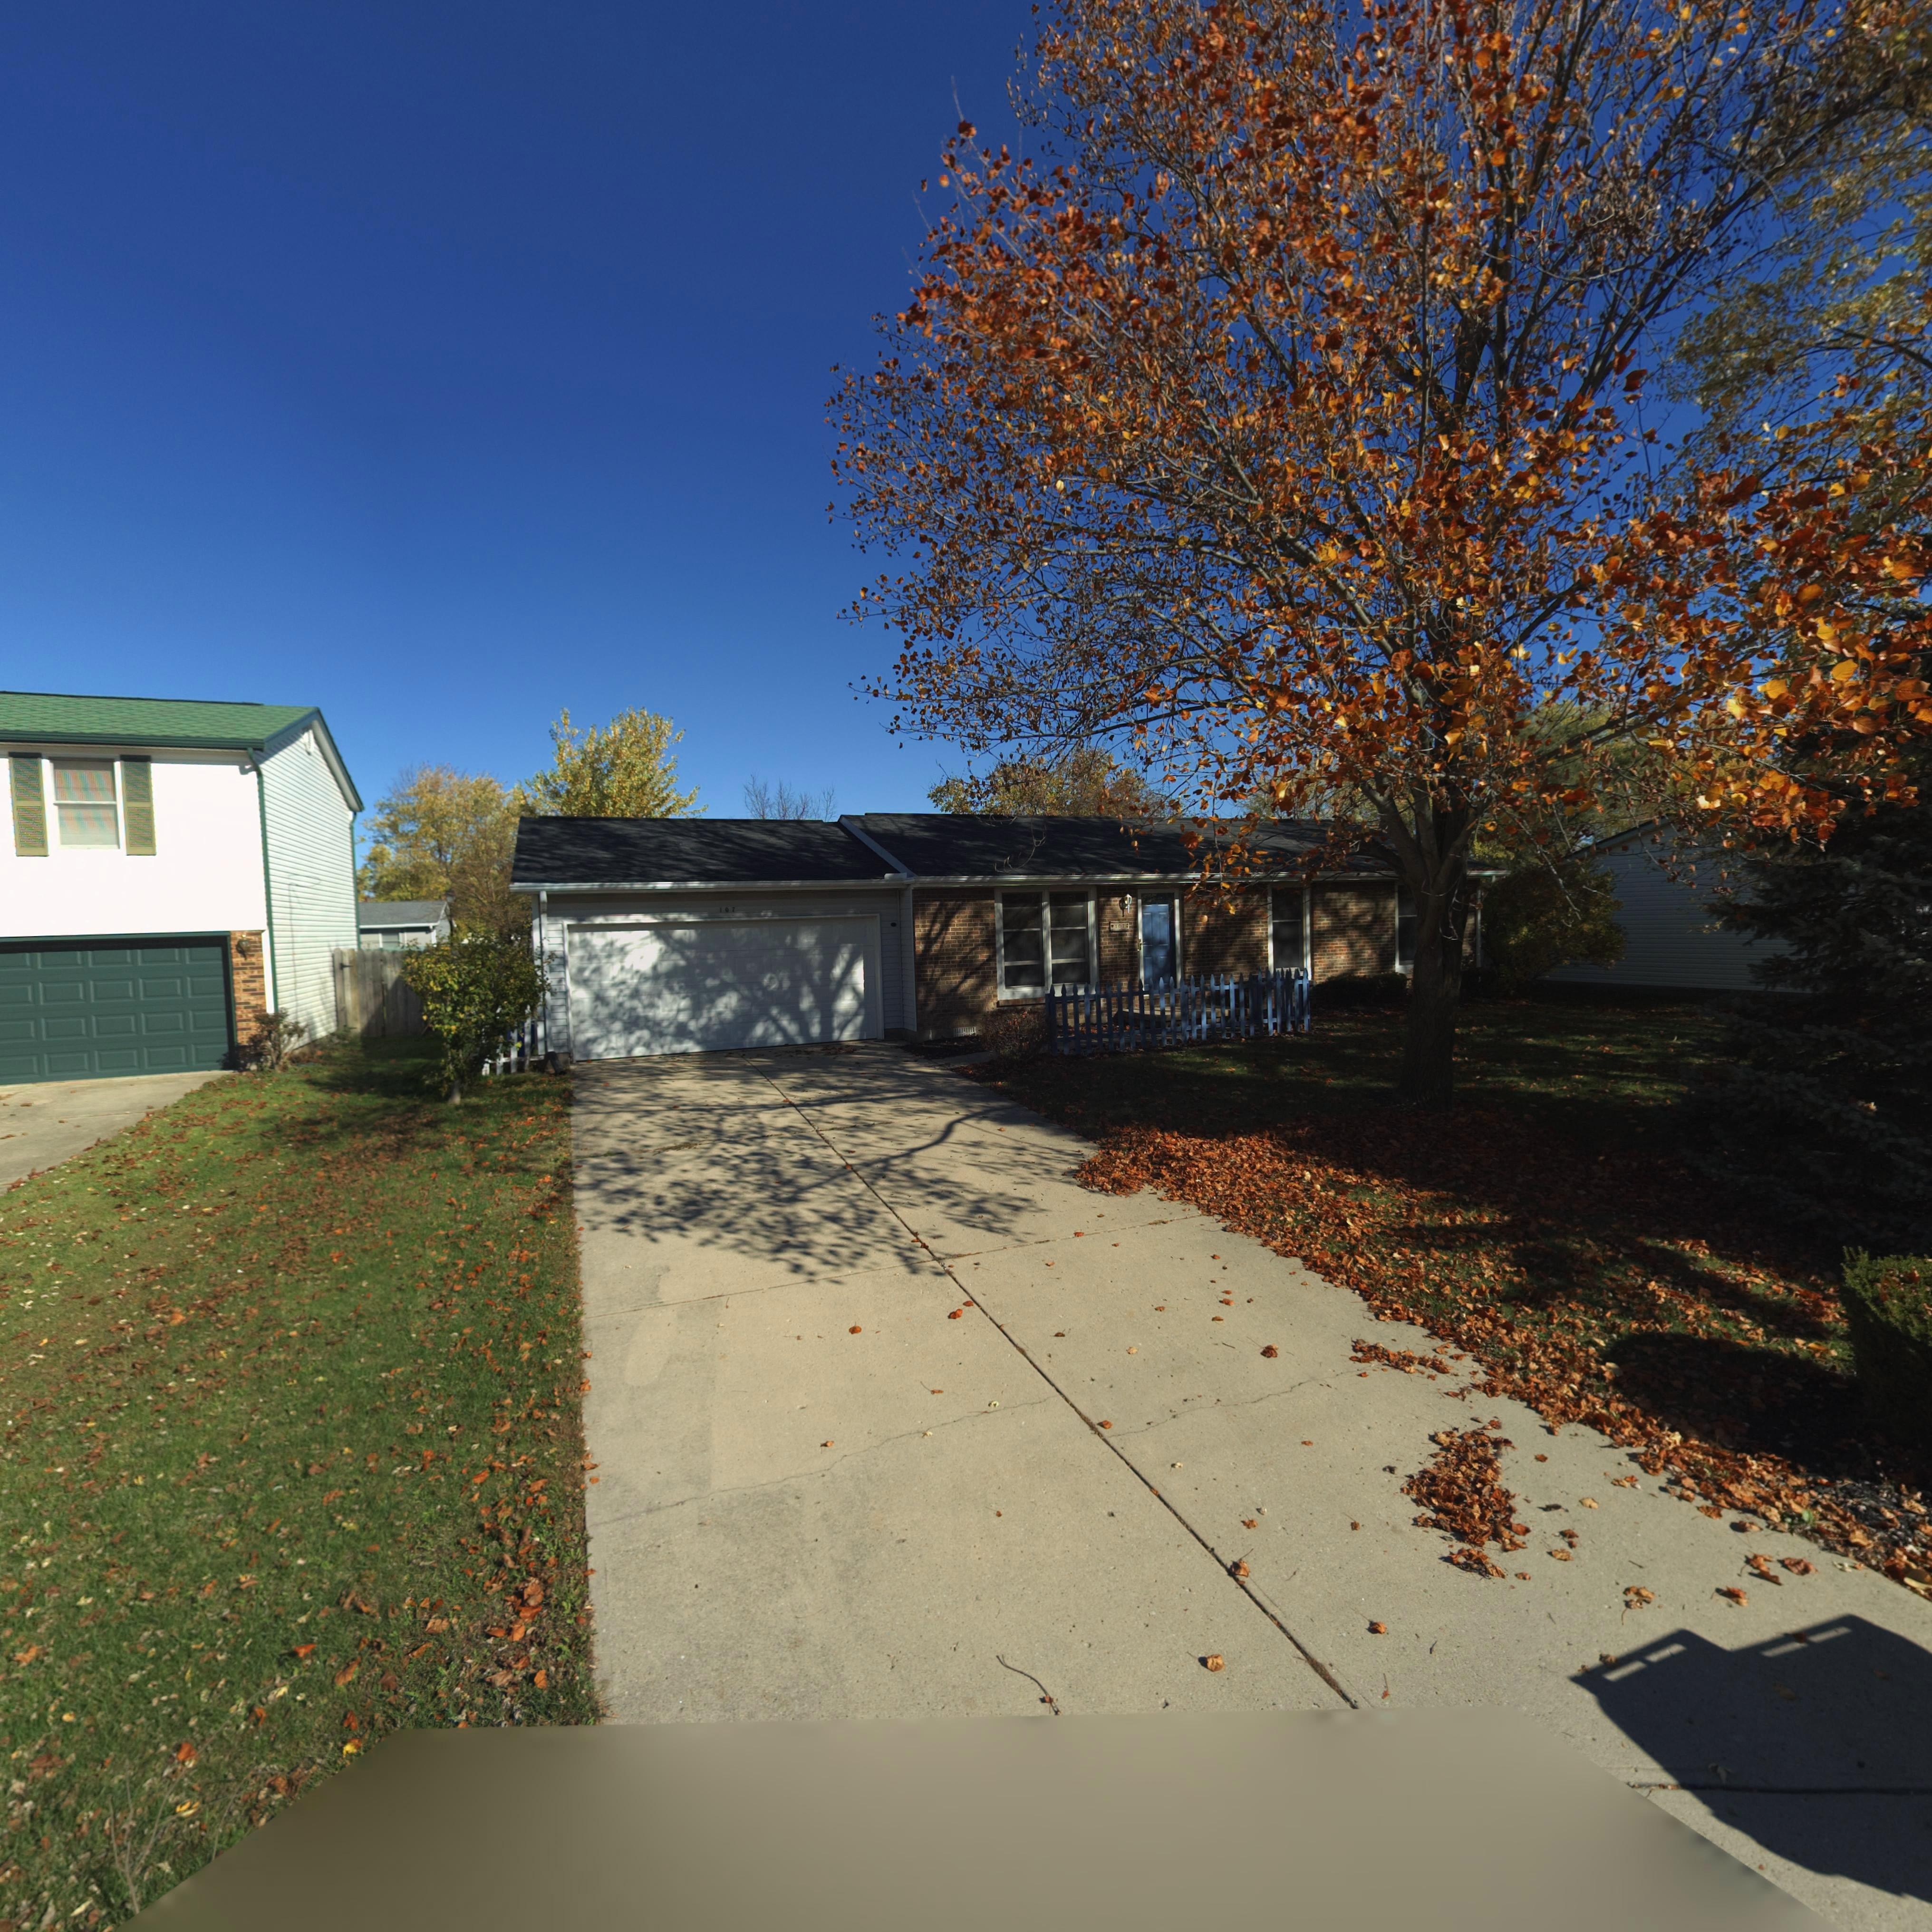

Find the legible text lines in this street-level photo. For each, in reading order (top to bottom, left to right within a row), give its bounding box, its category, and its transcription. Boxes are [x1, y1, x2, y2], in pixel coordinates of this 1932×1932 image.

[719, 906, 736, 913] StreetNumber: 107
[1114, 923, 1125, 929] StreetNumber: 107